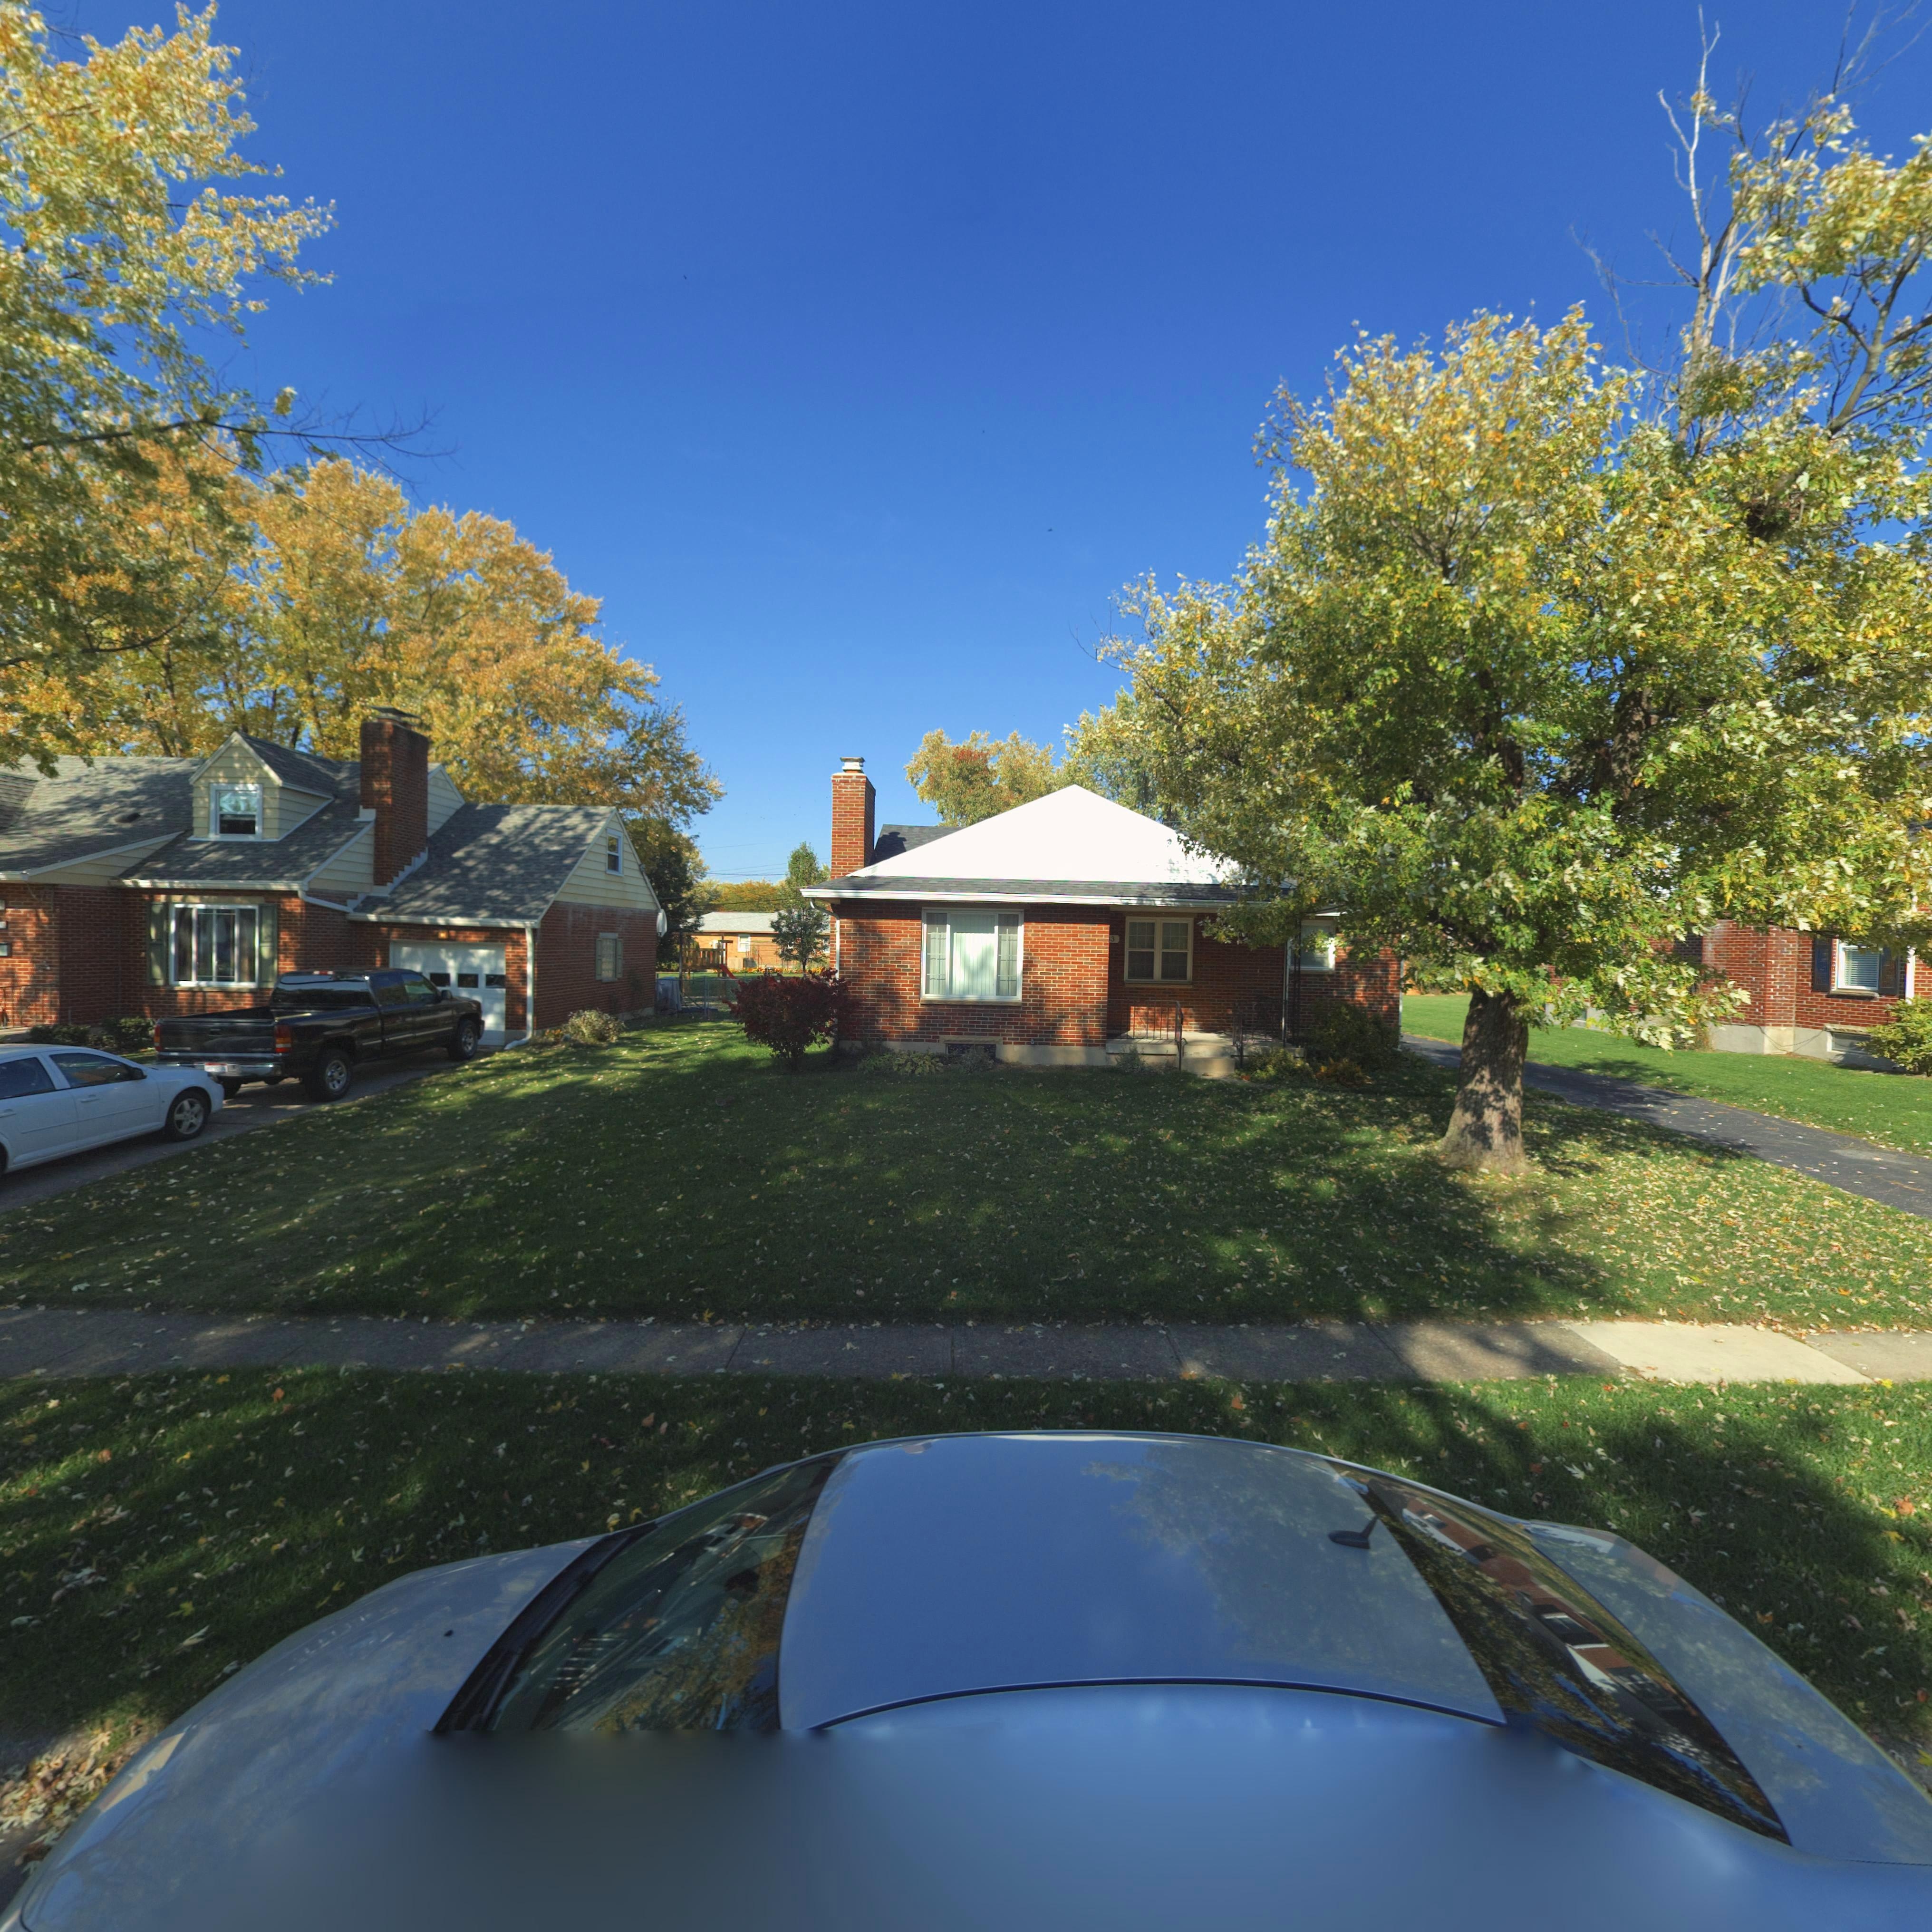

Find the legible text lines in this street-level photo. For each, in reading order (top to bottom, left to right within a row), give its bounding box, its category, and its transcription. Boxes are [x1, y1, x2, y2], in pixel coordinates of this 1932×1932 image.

[1111, 936, 1115, 941] StreetNumber: 3